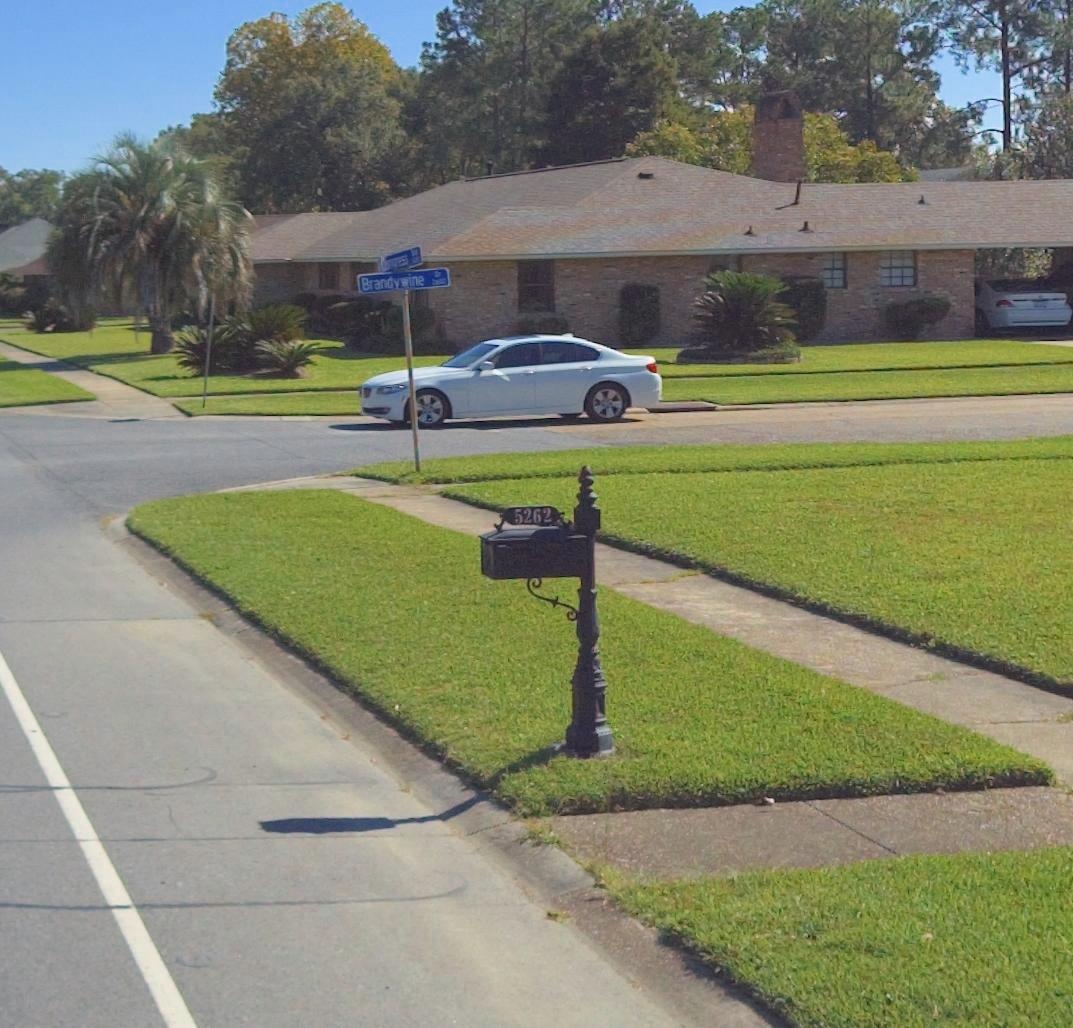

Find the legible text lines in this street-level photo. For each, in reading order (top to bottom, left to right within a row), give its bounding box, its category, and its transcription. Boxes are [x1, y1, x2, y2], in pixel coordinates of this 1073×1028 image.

[399, 251, 411, 271] StreetName: ss
[360, 269, 444, 294] StreetName: Brandywine Dr
[513, 506, 554, 526] StreetNumber: 5262